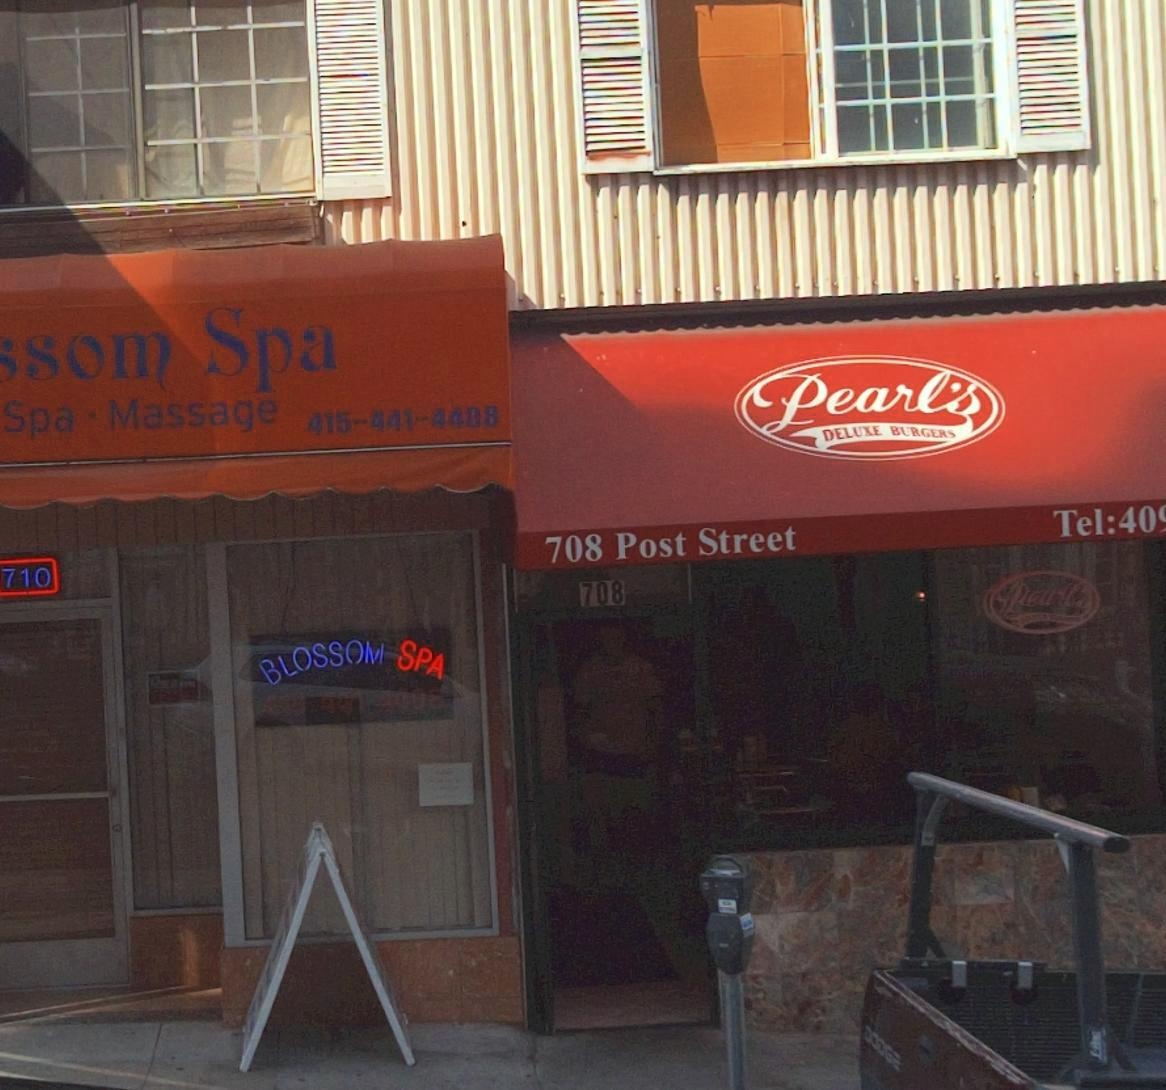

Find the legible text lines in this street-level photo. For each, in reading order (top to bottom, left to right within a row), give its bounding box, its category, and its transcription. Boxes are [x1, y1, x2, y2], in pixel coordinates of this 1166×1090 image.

[19, 304, 343, 397] BusinessName: som Spa
[0, 395, 279, 443] None: Spa * Massage
[307, 402, 504, 437] None: 415-441-4408
[748, 371, 992, 438] BusinessName: Pearl's
[820, 424, 958, 444] BusinessName: DELUXE BURGERS
[1047, 502, 1157, 540] None: Tel:40
[543, 532, 605, 564] StreetNumber: 708
[613, 523, 799, 562] StreetName: Post Street
[0, 565, 52, 590] StreetNumber: 710
[581, 579, 624, 607] StreetNumber: 708
[254, 637, 452, 691] BusinessName: BLOSSOM SPA
[862, 1022, 905, 1075] None: DODGE